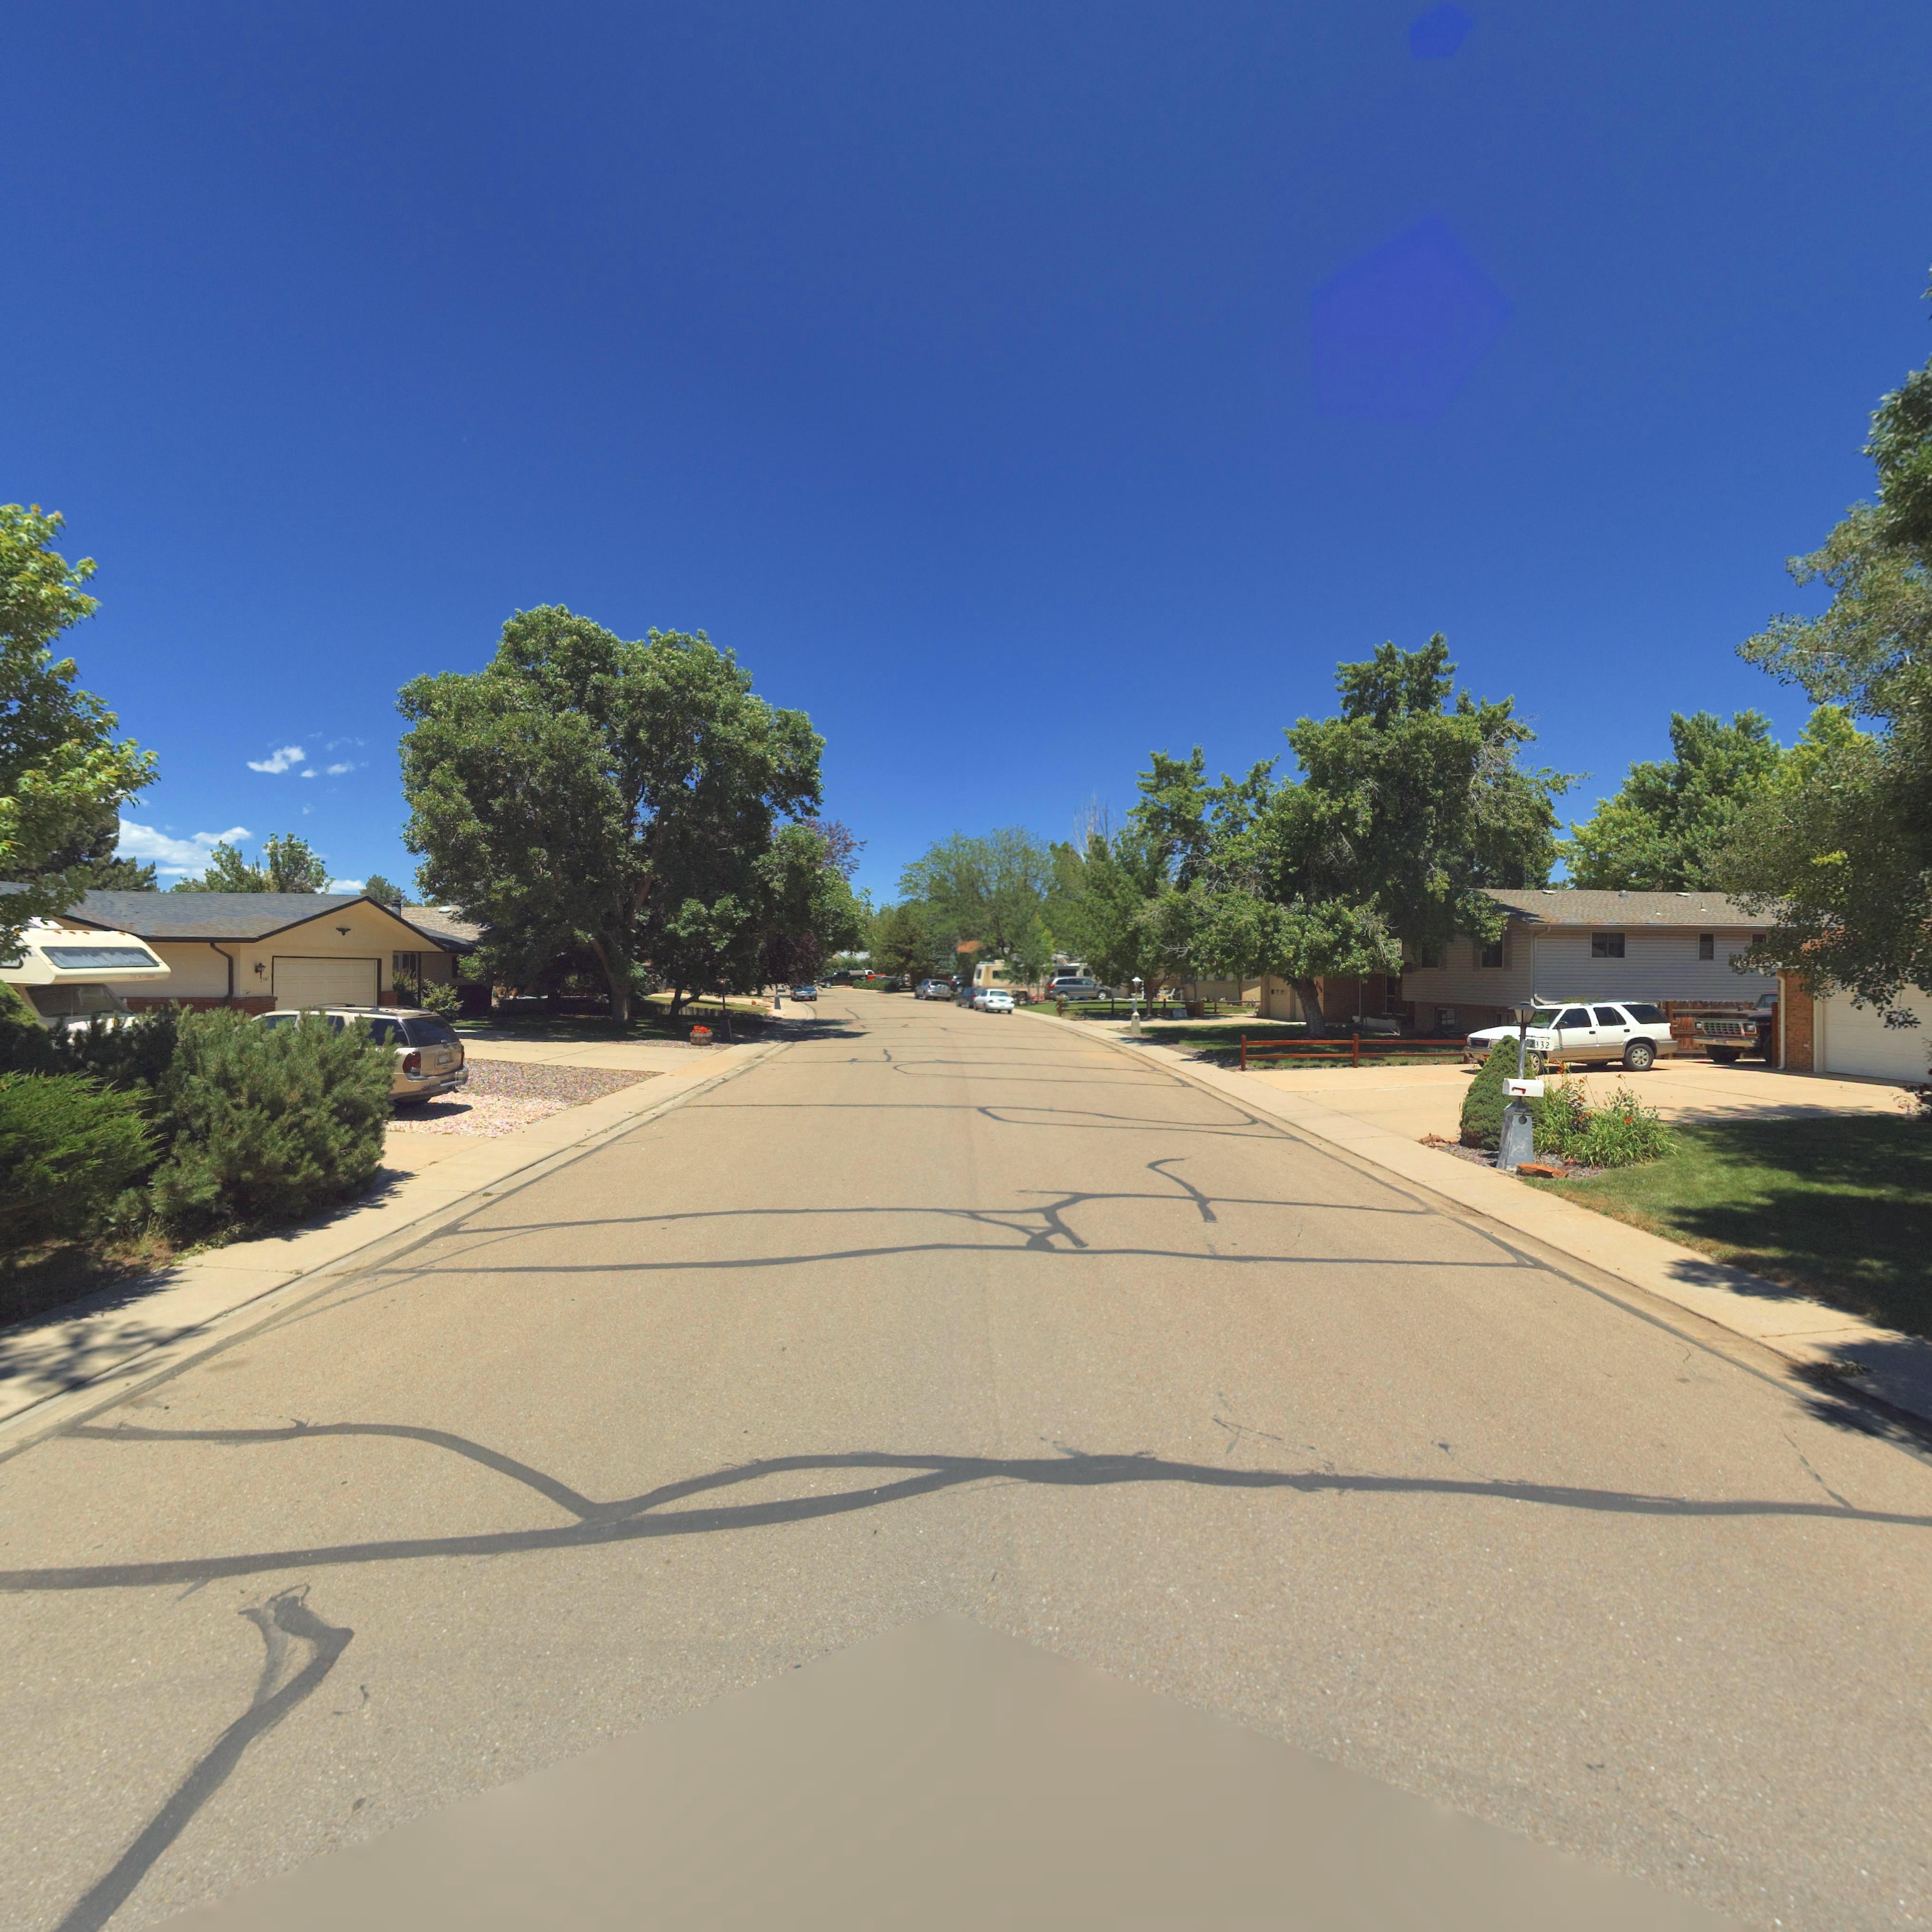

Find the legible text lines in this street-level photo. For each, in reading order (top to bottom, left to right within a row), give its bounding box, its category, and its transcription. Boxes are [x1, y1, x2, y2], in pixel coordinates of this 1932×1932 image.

[260, 975, 269, 983] StreetNumber: 234*
[1314, 979, 1323, 994] StreetNumber: 2***
[1529, 1040, 1550, 1049] StreetNumber: 2332